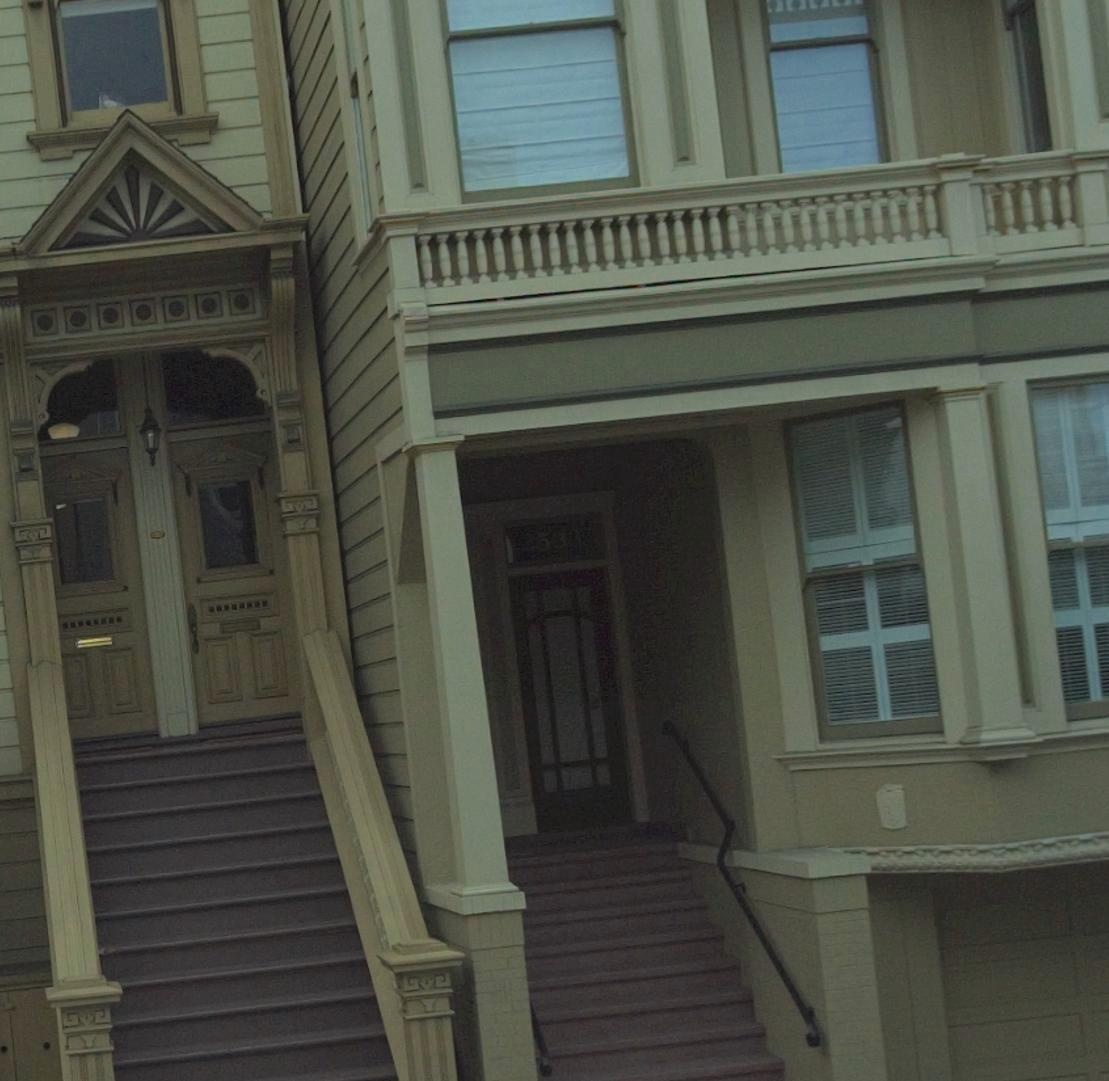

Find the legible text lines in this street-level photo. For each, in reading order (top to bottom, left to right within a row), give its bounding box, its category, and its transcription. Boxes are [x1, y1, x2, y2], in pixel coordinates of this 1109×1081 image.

[521, 524, 587, 557] StreetNumber: *53*